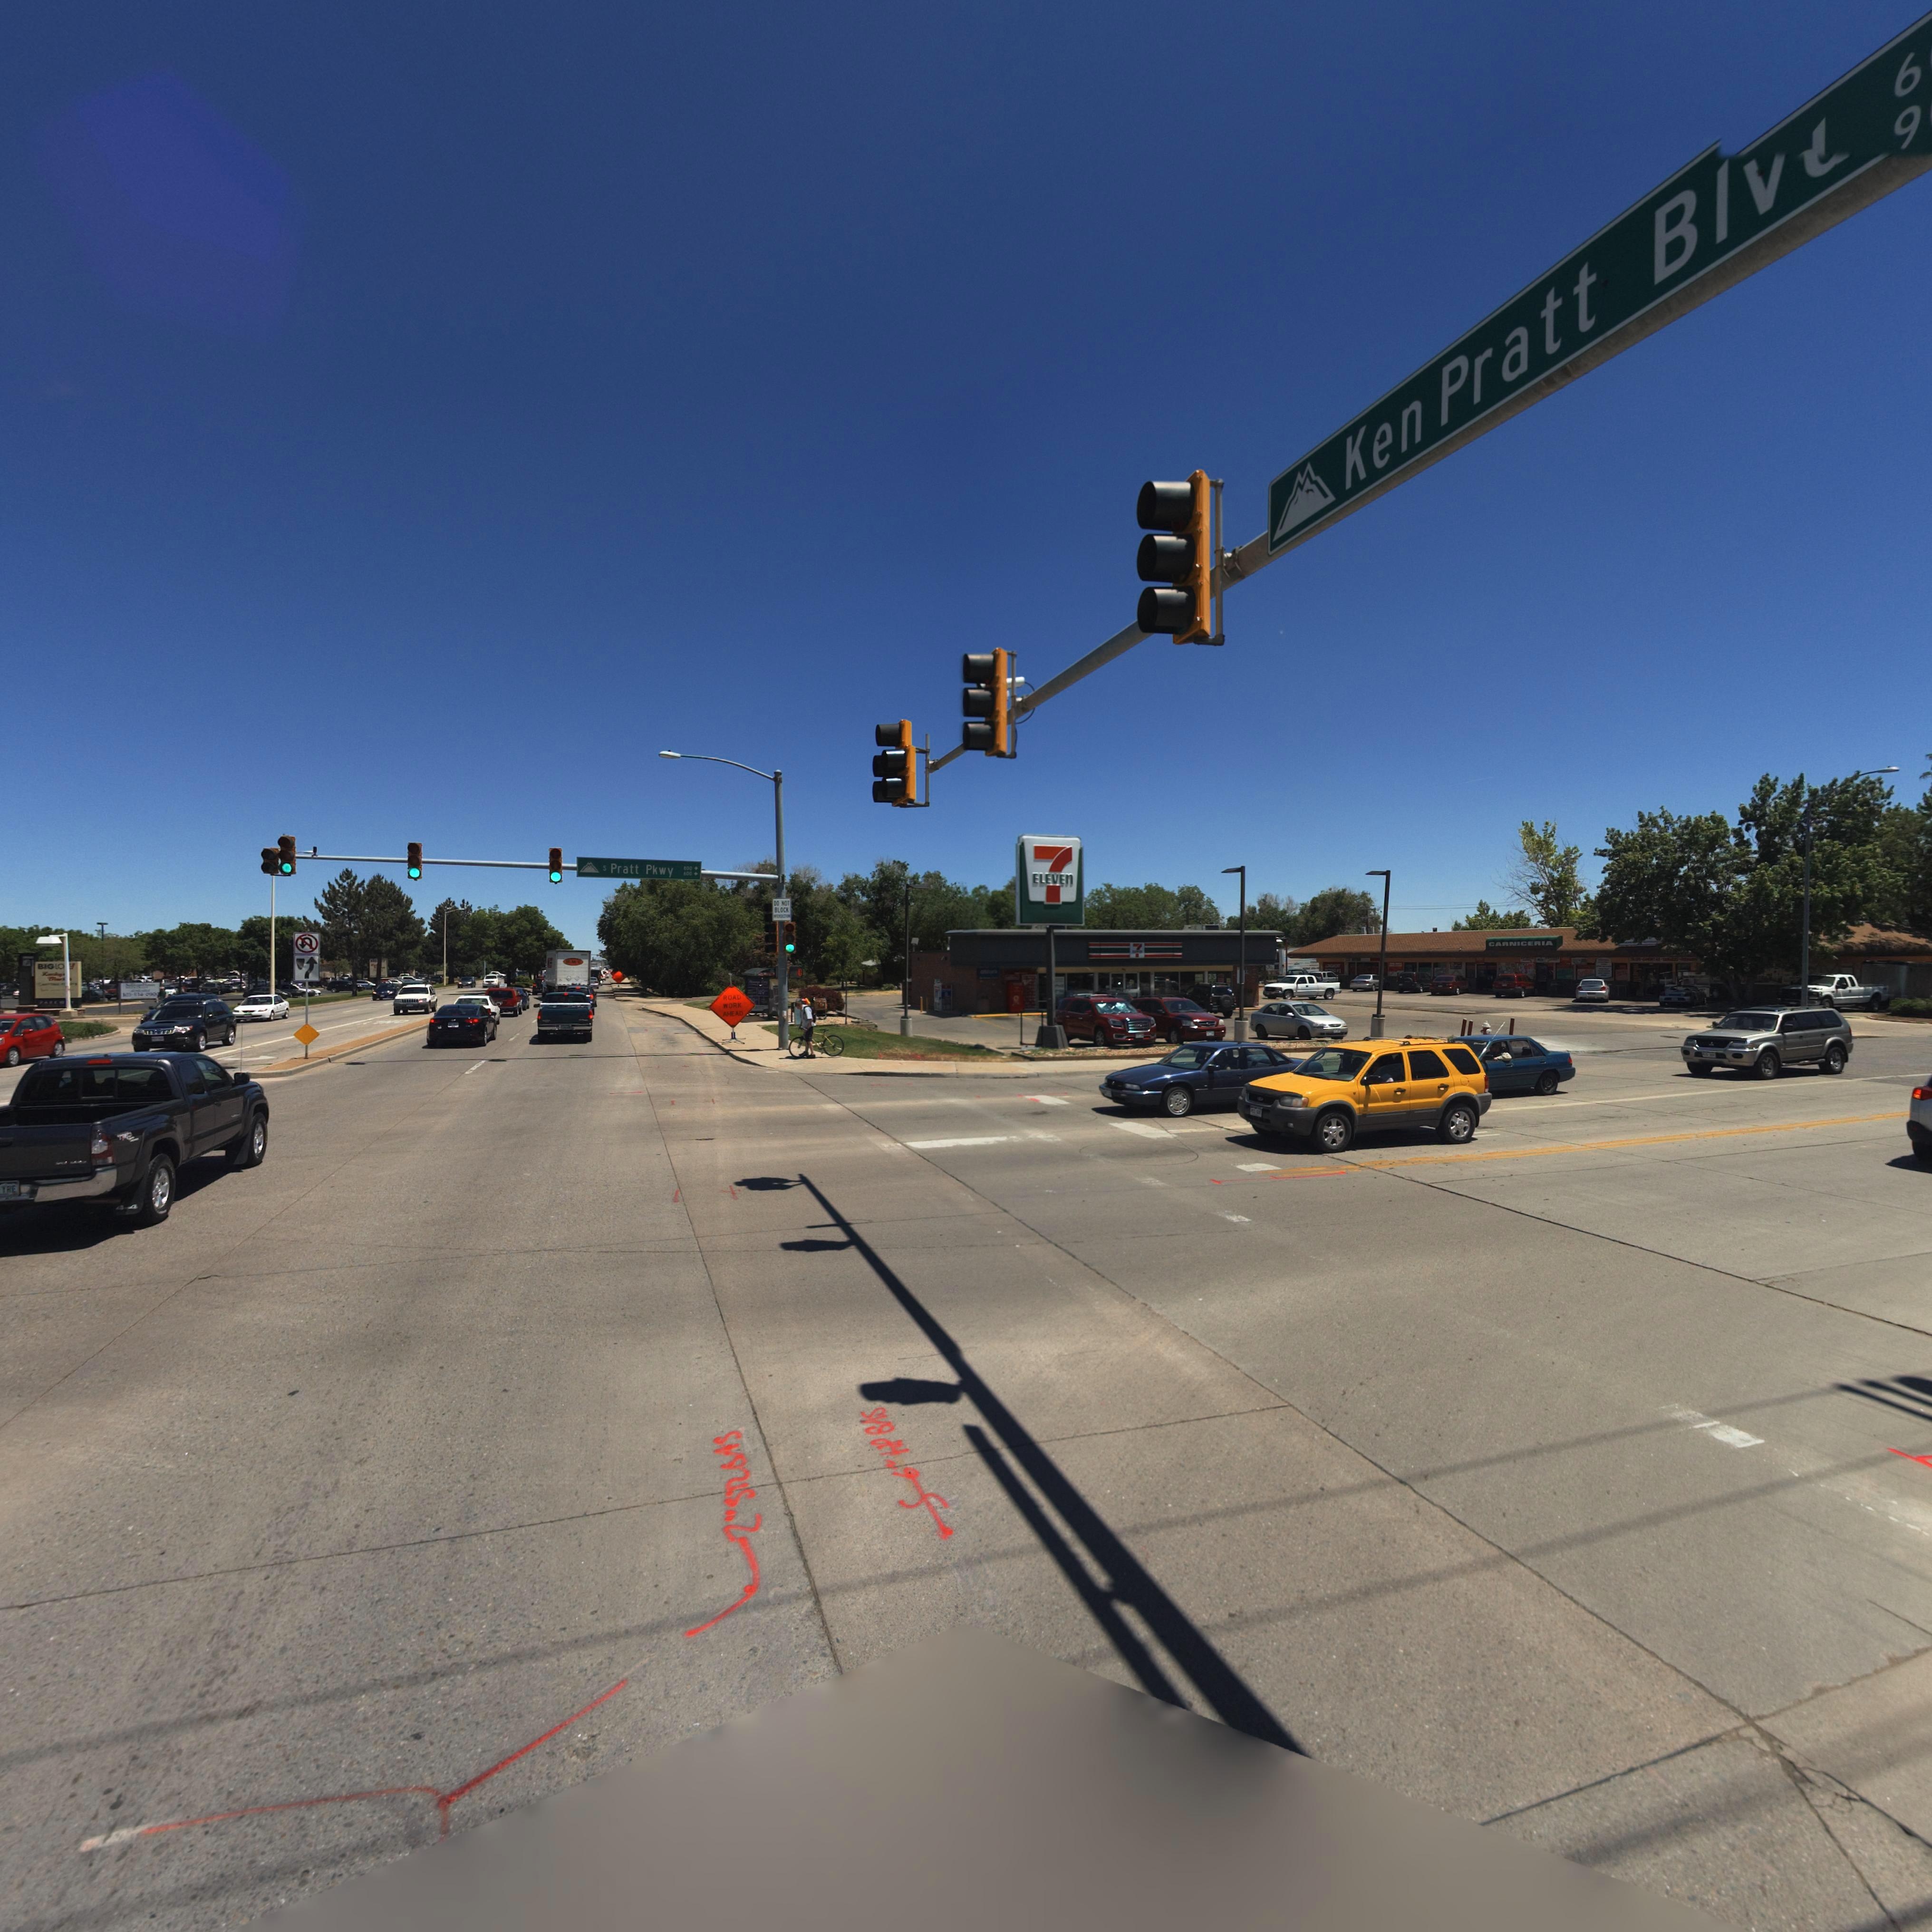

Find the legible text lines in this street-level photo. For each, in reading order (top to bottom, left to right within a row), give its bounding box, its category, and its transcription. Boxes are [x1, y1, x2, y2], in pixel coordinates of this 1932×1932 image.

[1892, 42, 1929, 101] StreetNumberRange: 6
[1892, 96, 1925, 154] StreetNumberRange: 9
[1337, 94, 1854, 495] StreetName: Ken Pratt Blv*
[602, 862, 674, 878] StreetName: S Pratt Pkwy
[683, 865, 692, 870] StreetNumberRange: *00
[683, 870, 698, 876] StreetNumberRange: 600->
[1032, 872, 1073, 884] BusinessName: ELEVEN
[1034, 843, 1072, 904] BusinessName: 7
[38, 963, 76, 970] BusinessName: BIGLO**
[42, 971, 66, 977] BusinessName: L*****
[48, 976, 72, 981] BusinessName: M*****